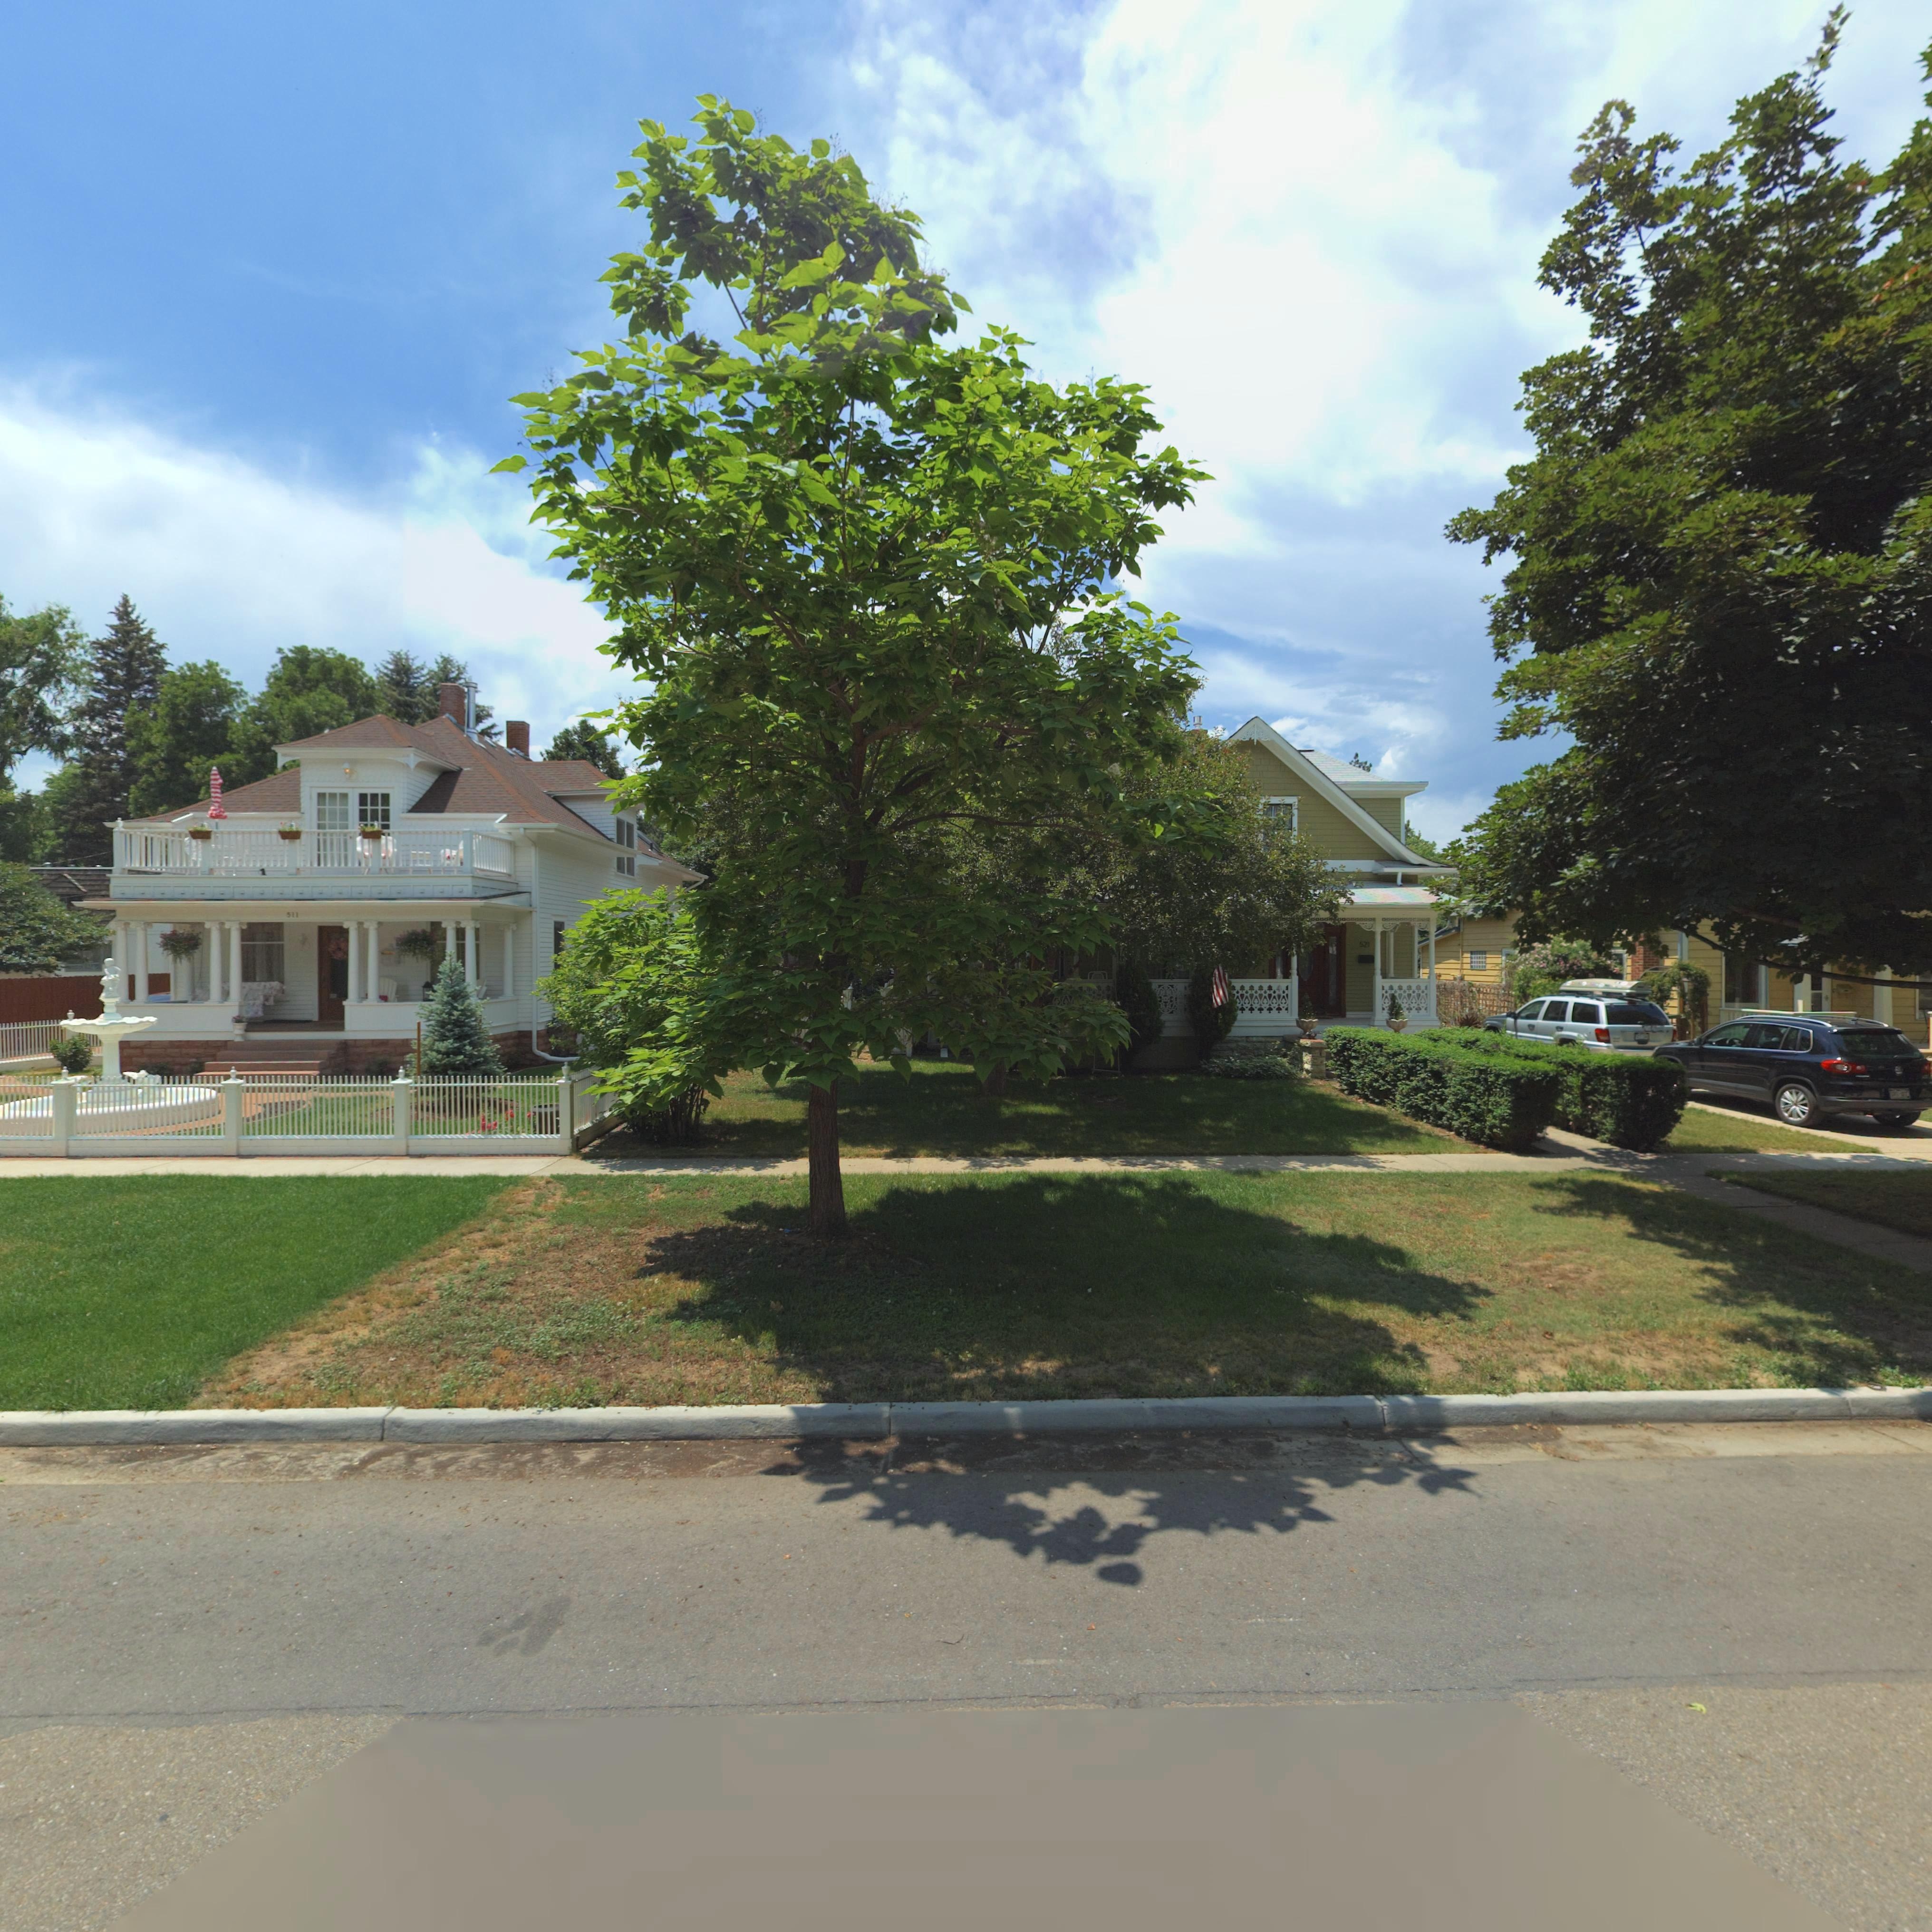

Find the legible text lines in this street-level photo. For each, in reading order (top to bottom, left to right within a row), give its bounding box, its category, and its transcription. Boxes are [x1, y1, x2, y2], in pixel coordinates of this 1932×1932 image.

[286, 912, 299, 918] StreetNumber: 511
[1359, 941, 1370, 947] StreetNumber: 521